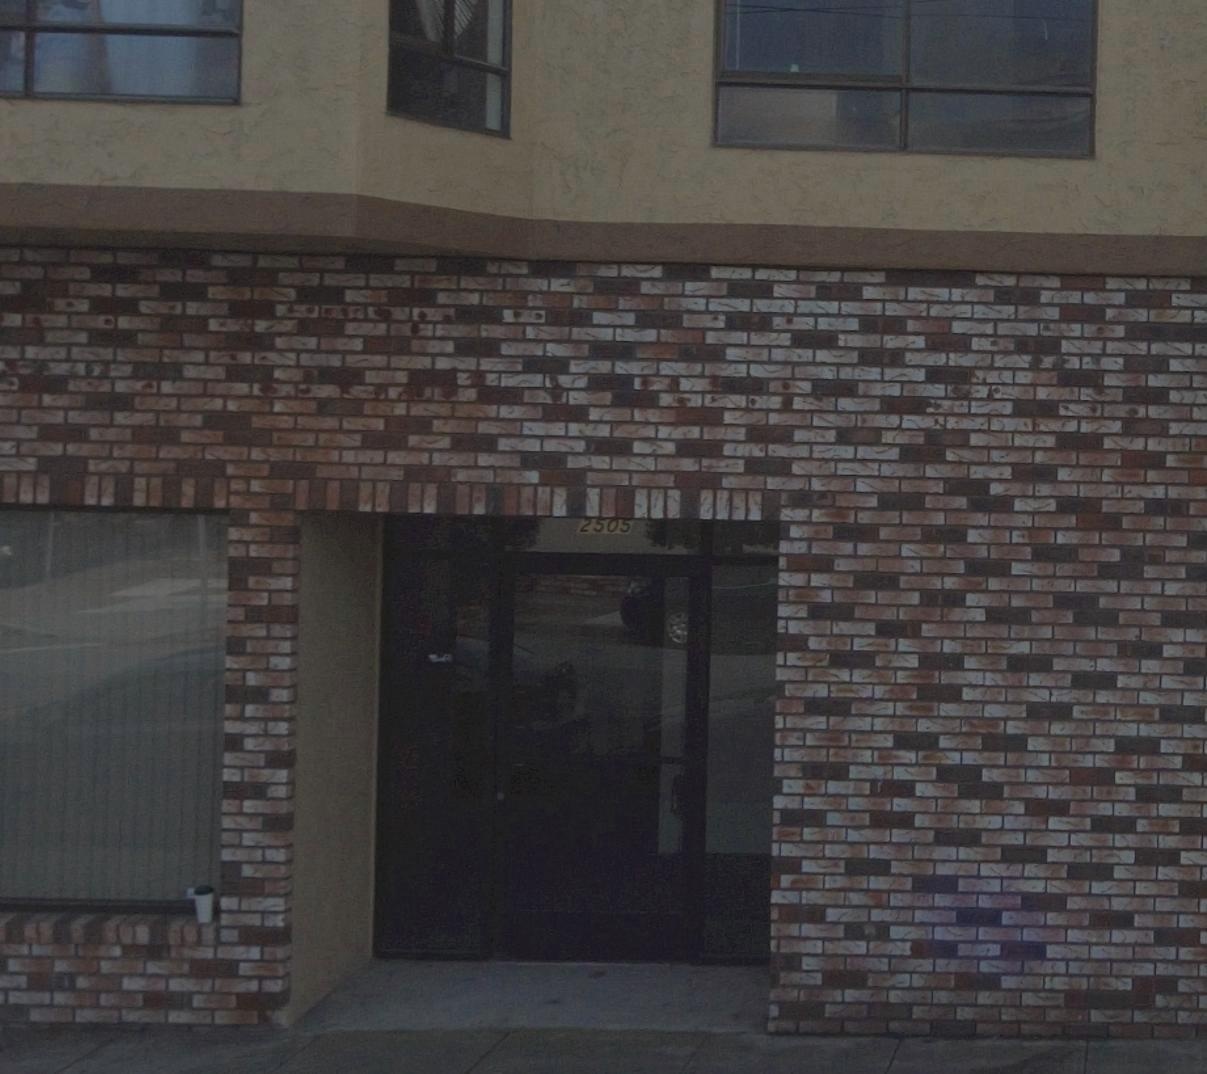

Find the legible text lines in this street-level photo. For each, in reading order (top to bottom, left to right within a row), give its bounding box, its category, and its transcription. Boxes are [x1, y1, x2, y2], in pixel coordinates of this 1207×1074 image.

[576, 517, 634, 534] StreetNumber: 2505